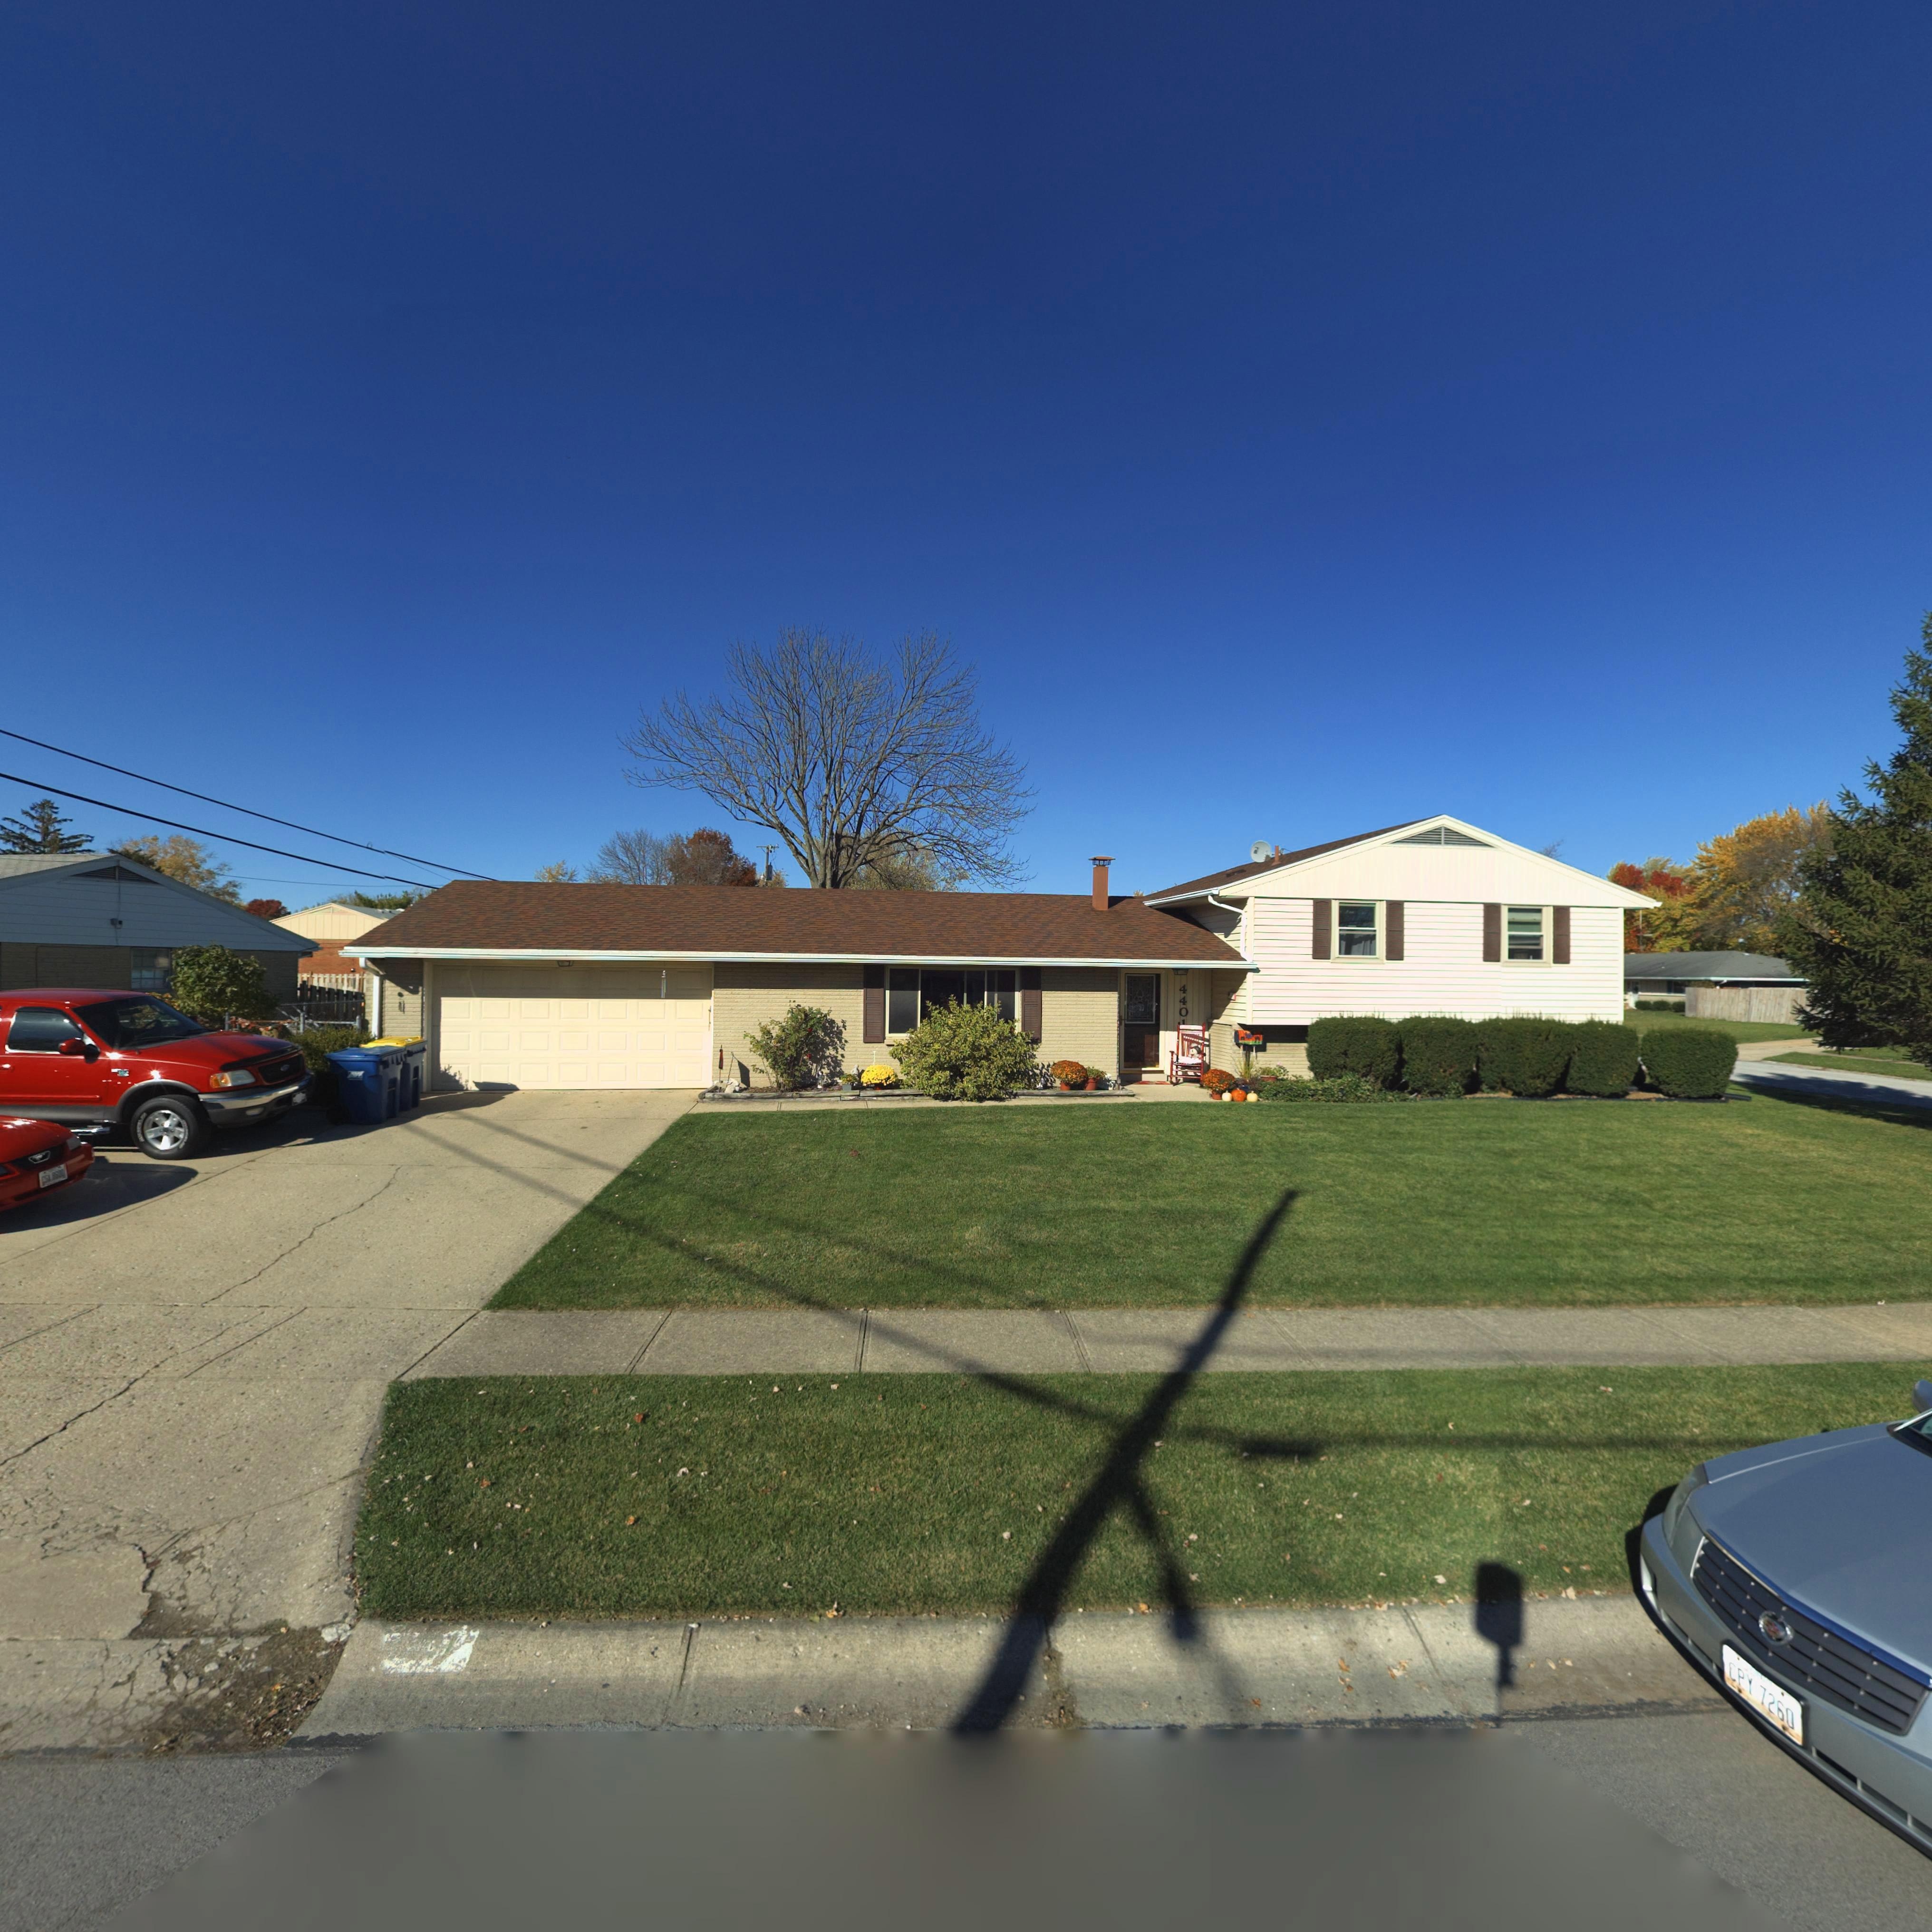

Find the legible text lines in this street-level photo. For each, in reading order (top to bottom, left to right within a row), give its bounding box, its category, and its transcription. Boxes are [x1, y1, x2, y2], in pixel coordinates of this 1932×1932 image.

[1179, 983, 1189, 1025] StreetNumber: 440*